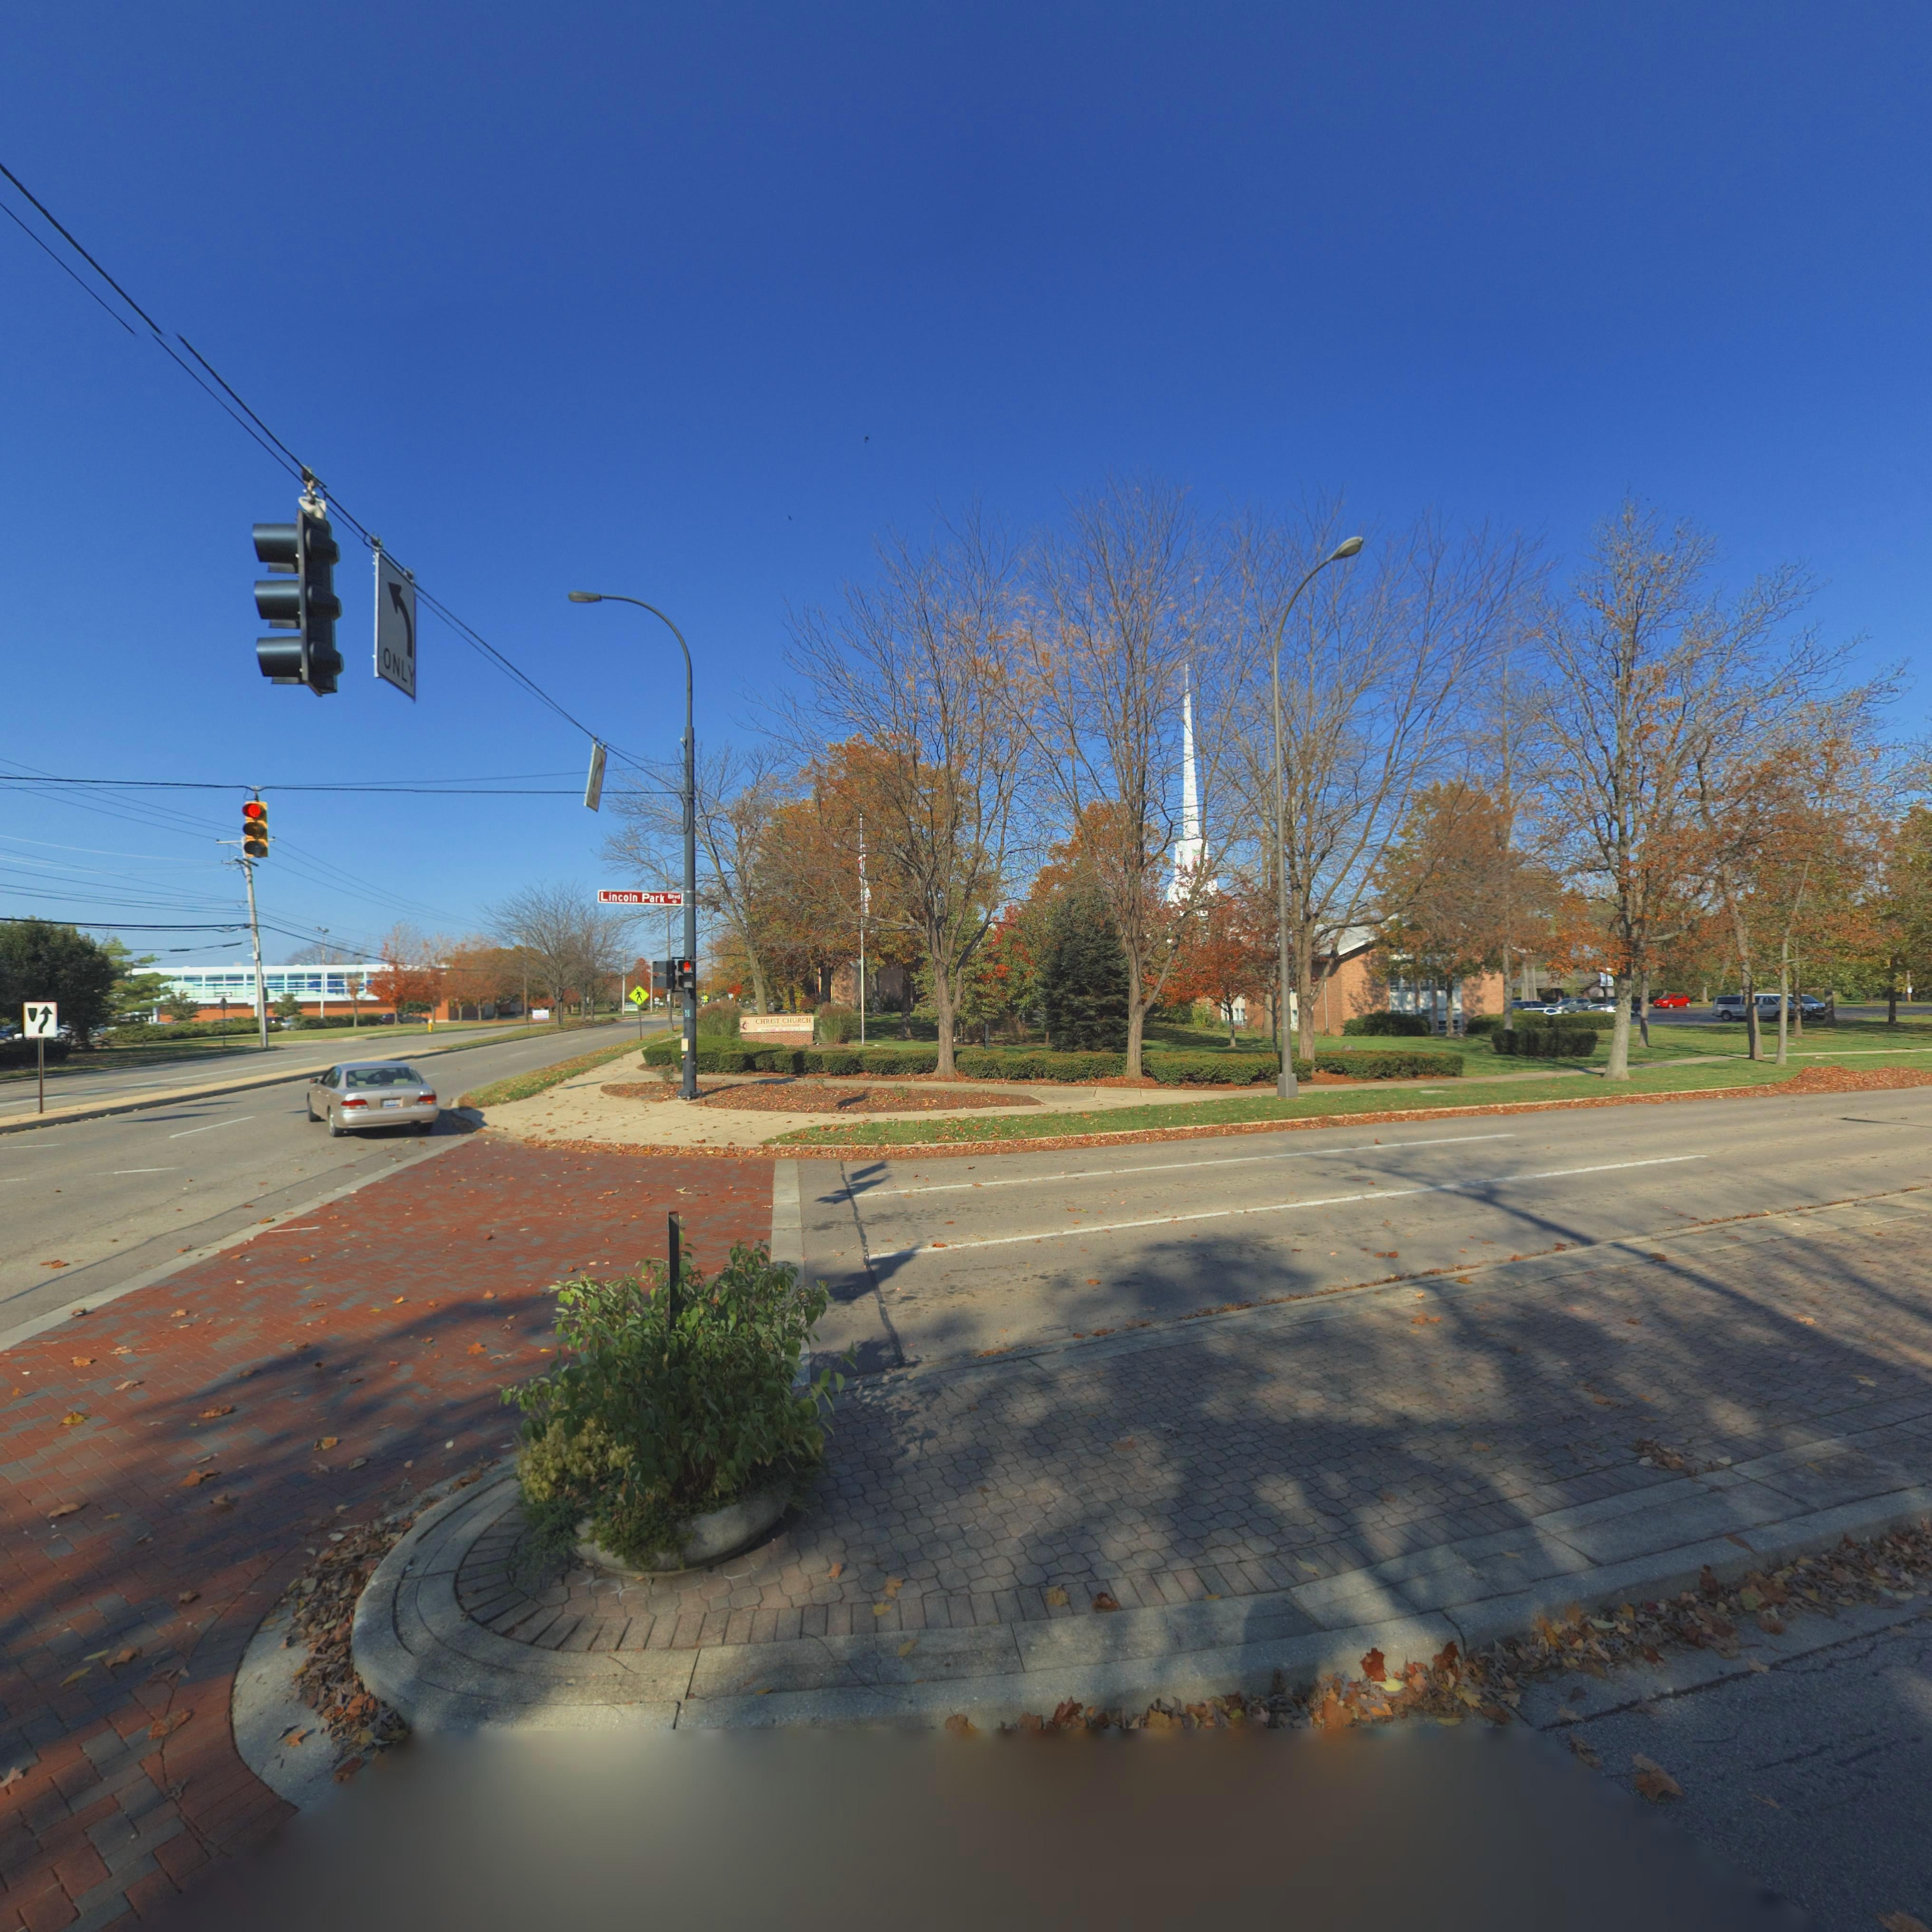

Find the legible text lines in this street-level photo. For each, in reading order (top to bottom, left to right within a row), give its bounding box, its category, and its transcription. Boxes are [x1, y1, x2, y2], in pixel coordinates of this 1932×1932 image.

[382, 643, 416, 688] None: ONLY
[600, 892, 681, 903] StreetName: Lincoln Park Blvd
[754, 1017, 811, 1024] BusinessName: CHRIST CHURCH